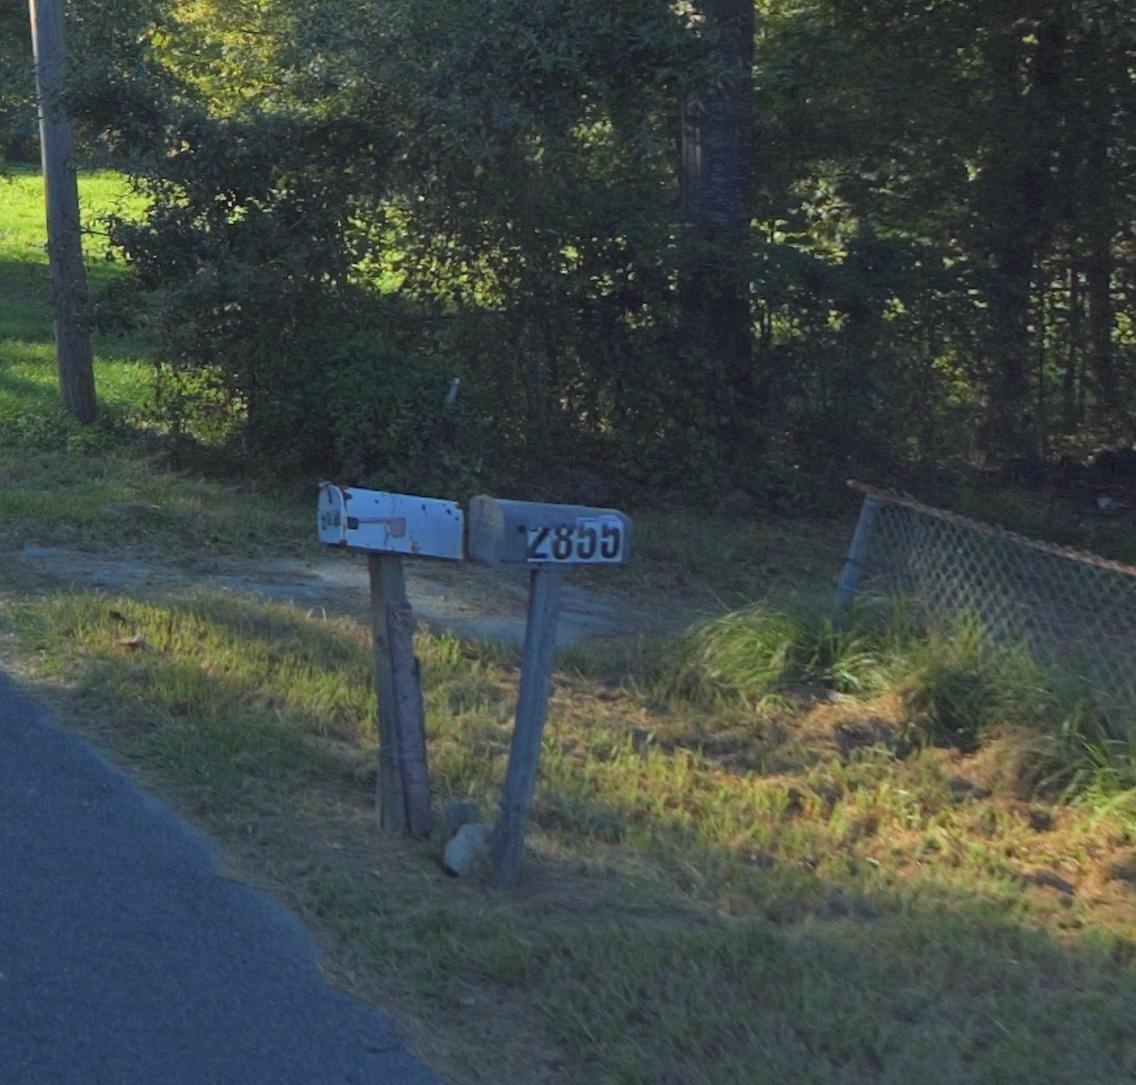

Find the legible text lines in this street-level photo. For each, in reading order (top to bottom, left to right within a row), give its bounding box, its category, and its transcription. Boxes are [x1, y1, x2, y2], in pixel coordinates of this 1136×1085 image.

[527, 517, 621, 562] StreetNumber: 2855